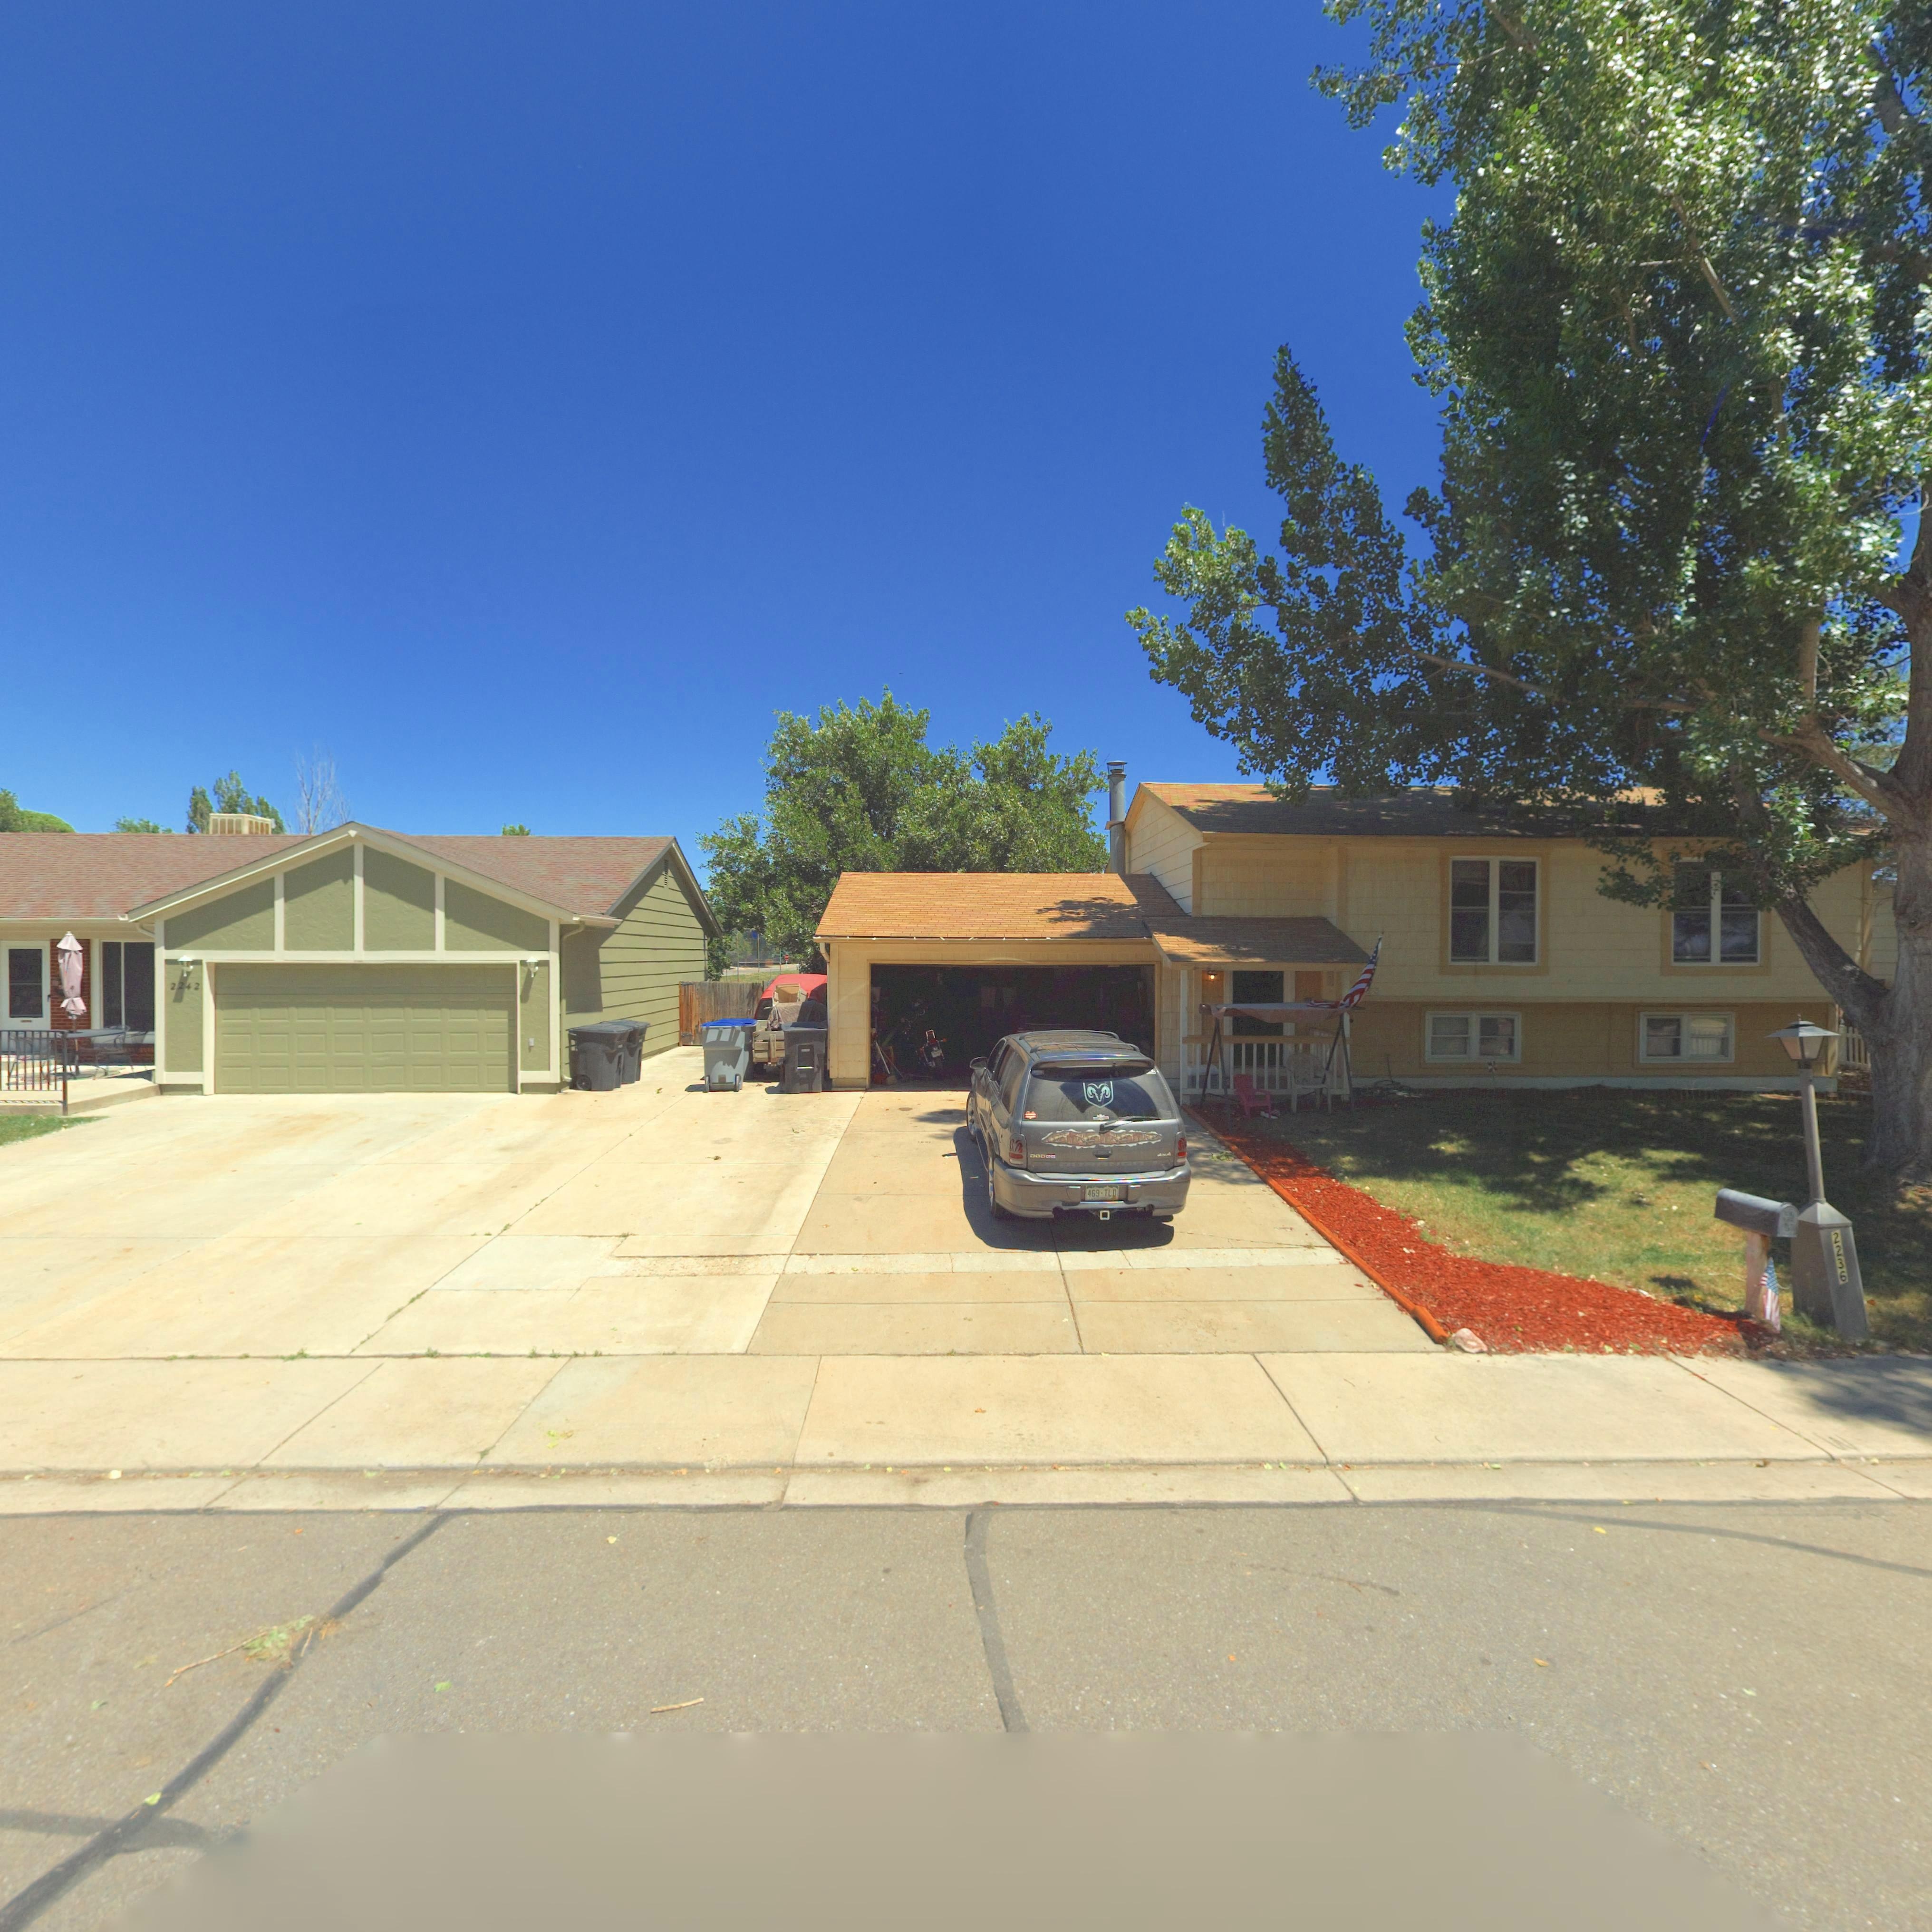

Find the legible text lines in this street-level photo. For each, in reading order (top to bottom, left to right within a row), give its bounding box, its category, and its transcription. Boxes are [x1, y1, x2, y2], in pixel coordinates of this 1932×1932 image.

[170, 981, 200, 991] StreetNumber: 2242
[1832, 1231, 1847, 1282] StreetNumber: 2236